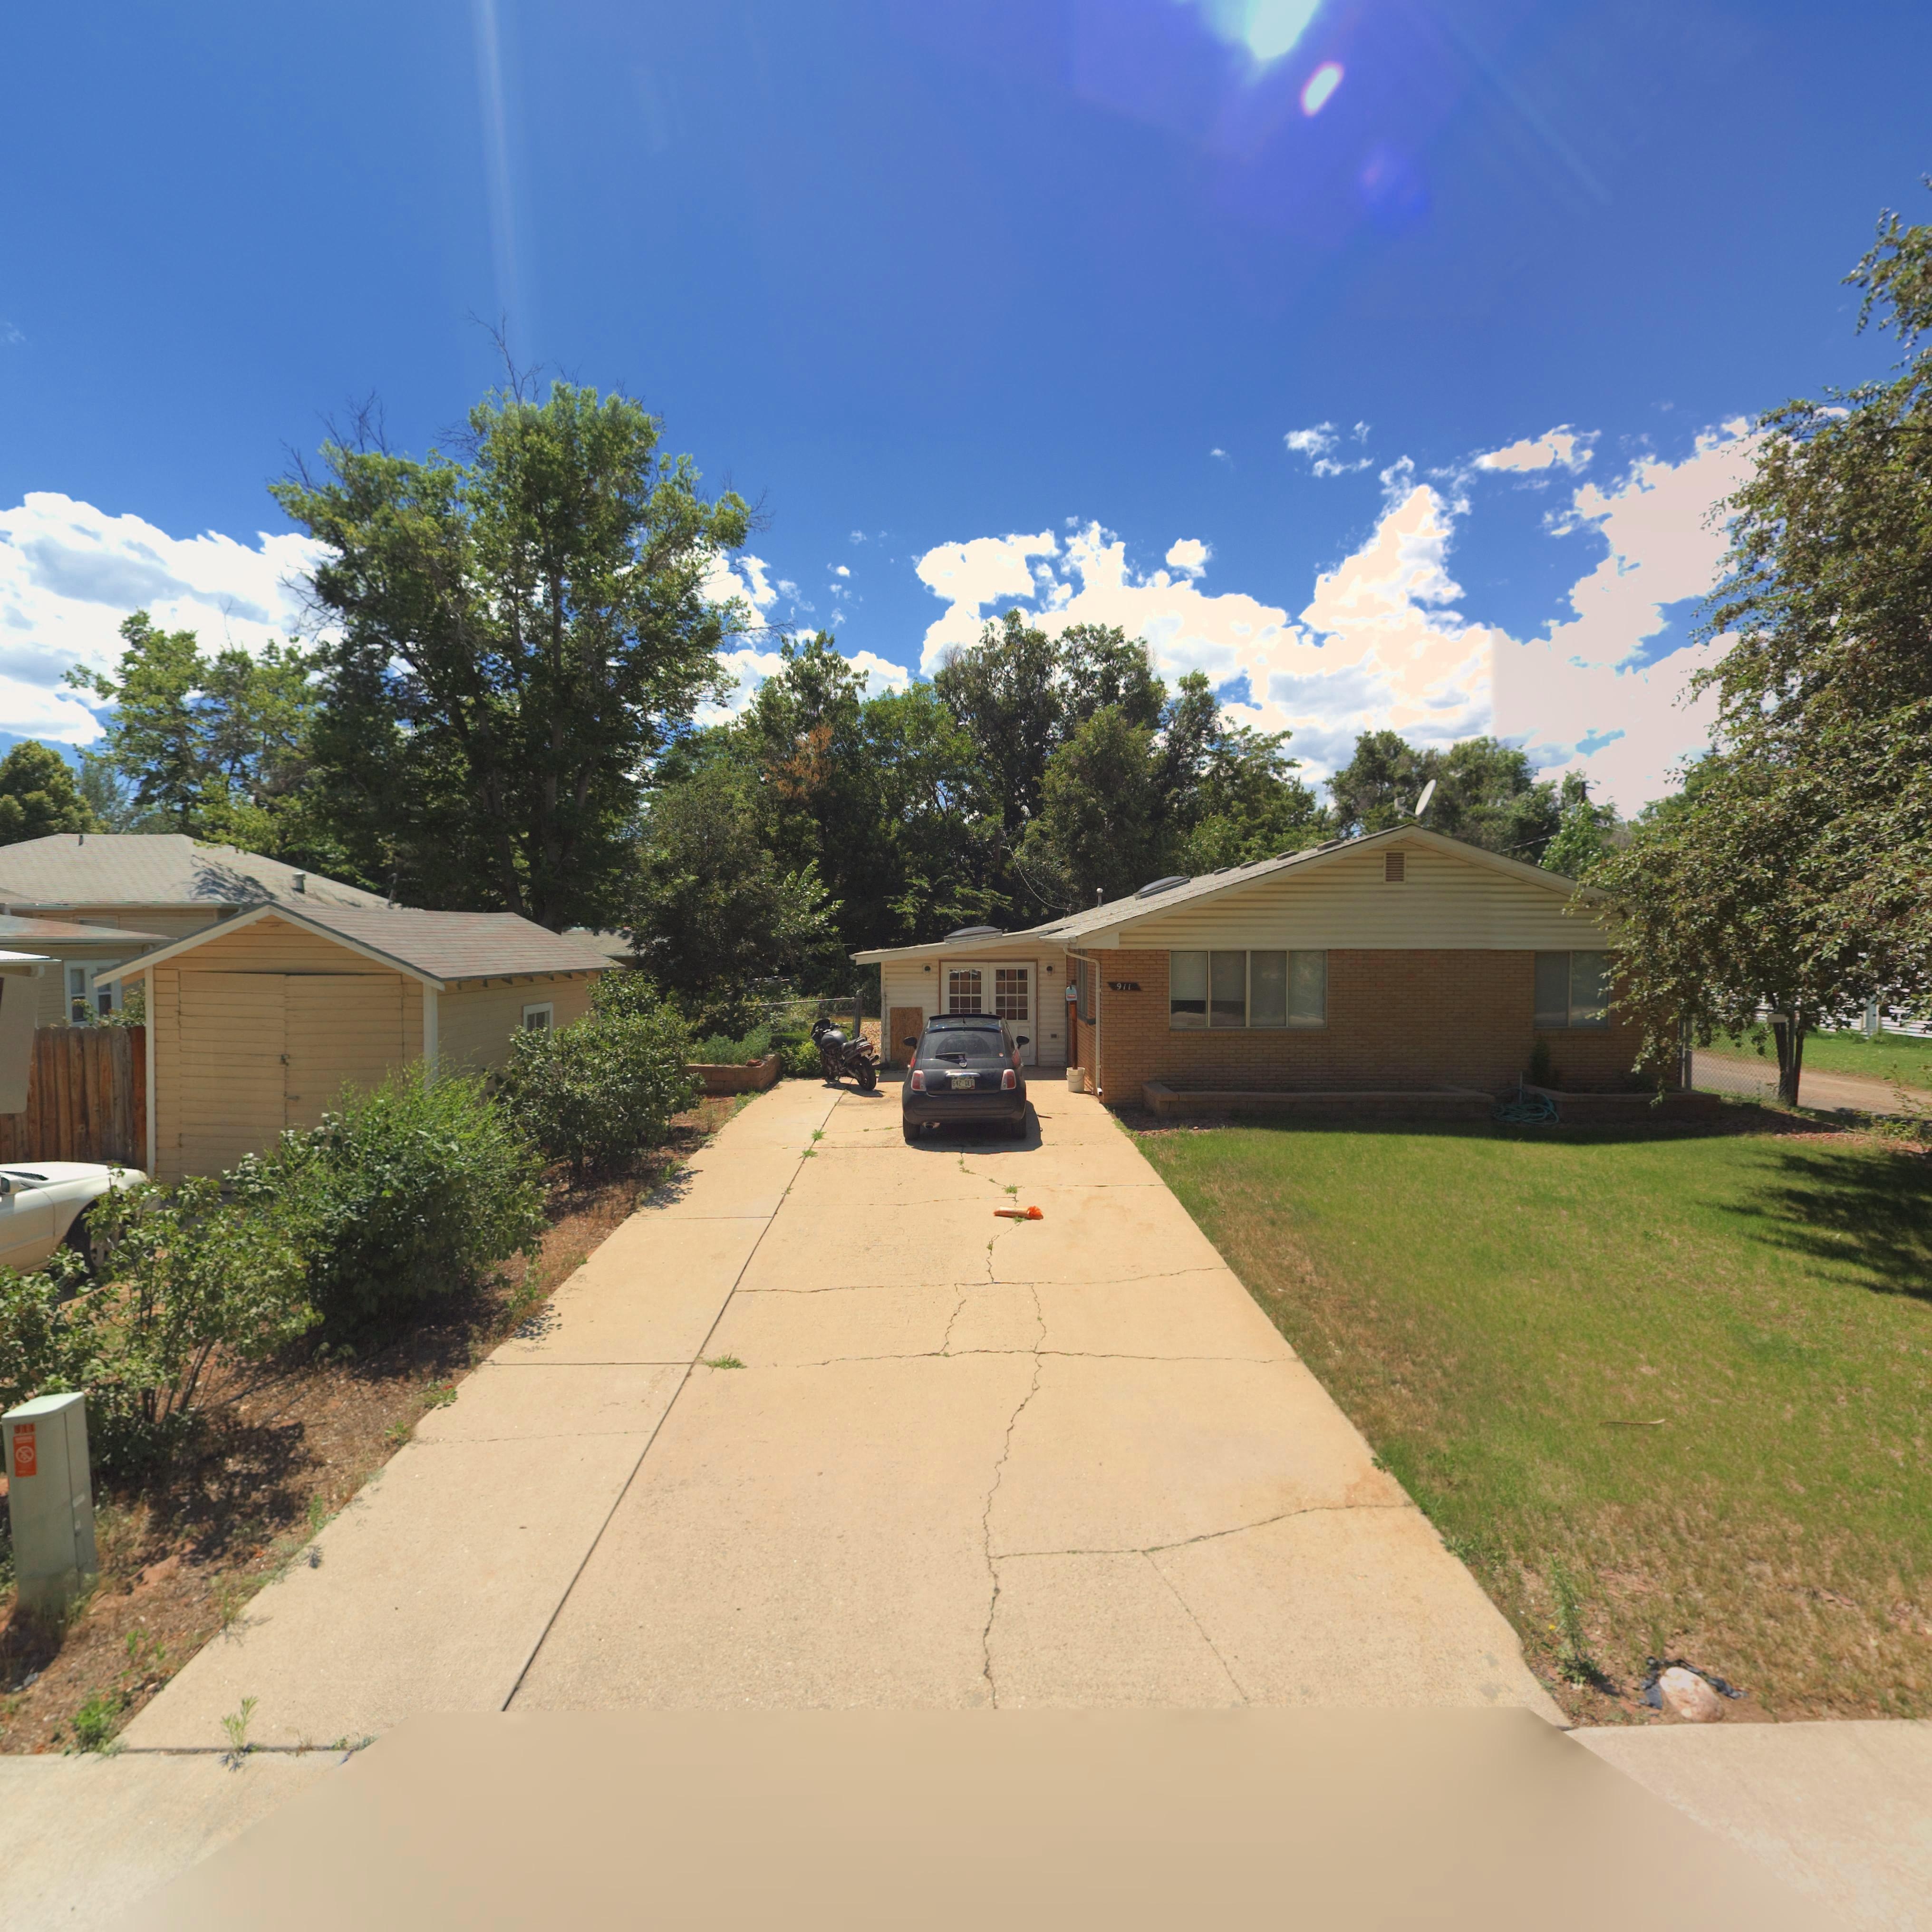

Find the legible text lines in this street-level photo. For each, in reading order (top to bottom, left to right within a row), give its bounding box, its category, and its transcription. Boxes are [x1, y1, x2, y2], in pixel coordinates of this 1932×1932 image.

[1116, 983, 1130, 990] StreetNumber: 911